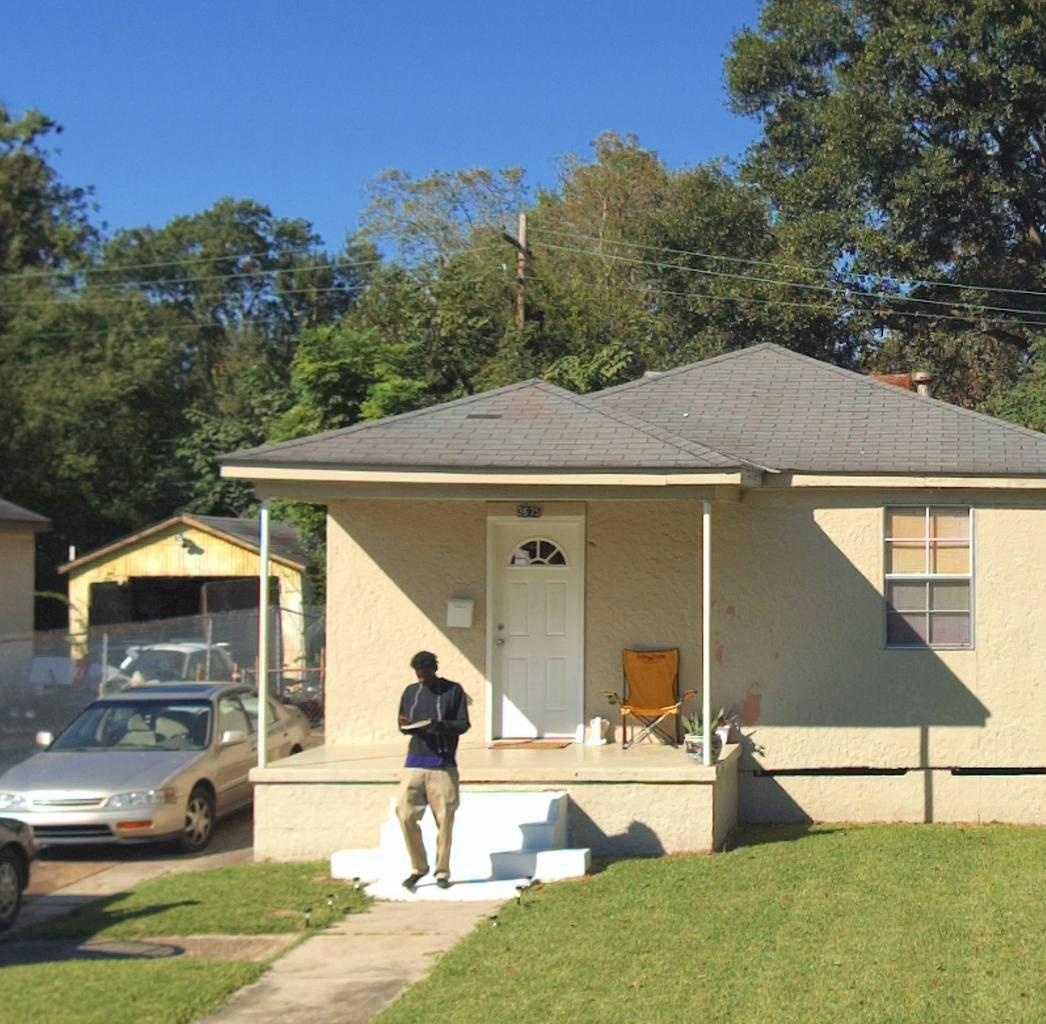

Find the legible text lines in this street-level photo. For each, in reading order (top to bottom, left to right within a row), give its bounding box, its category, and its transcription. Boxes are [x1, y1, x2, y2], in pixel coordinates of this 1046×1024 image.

[516, 506, 542, 517] StreetNumber: 3575